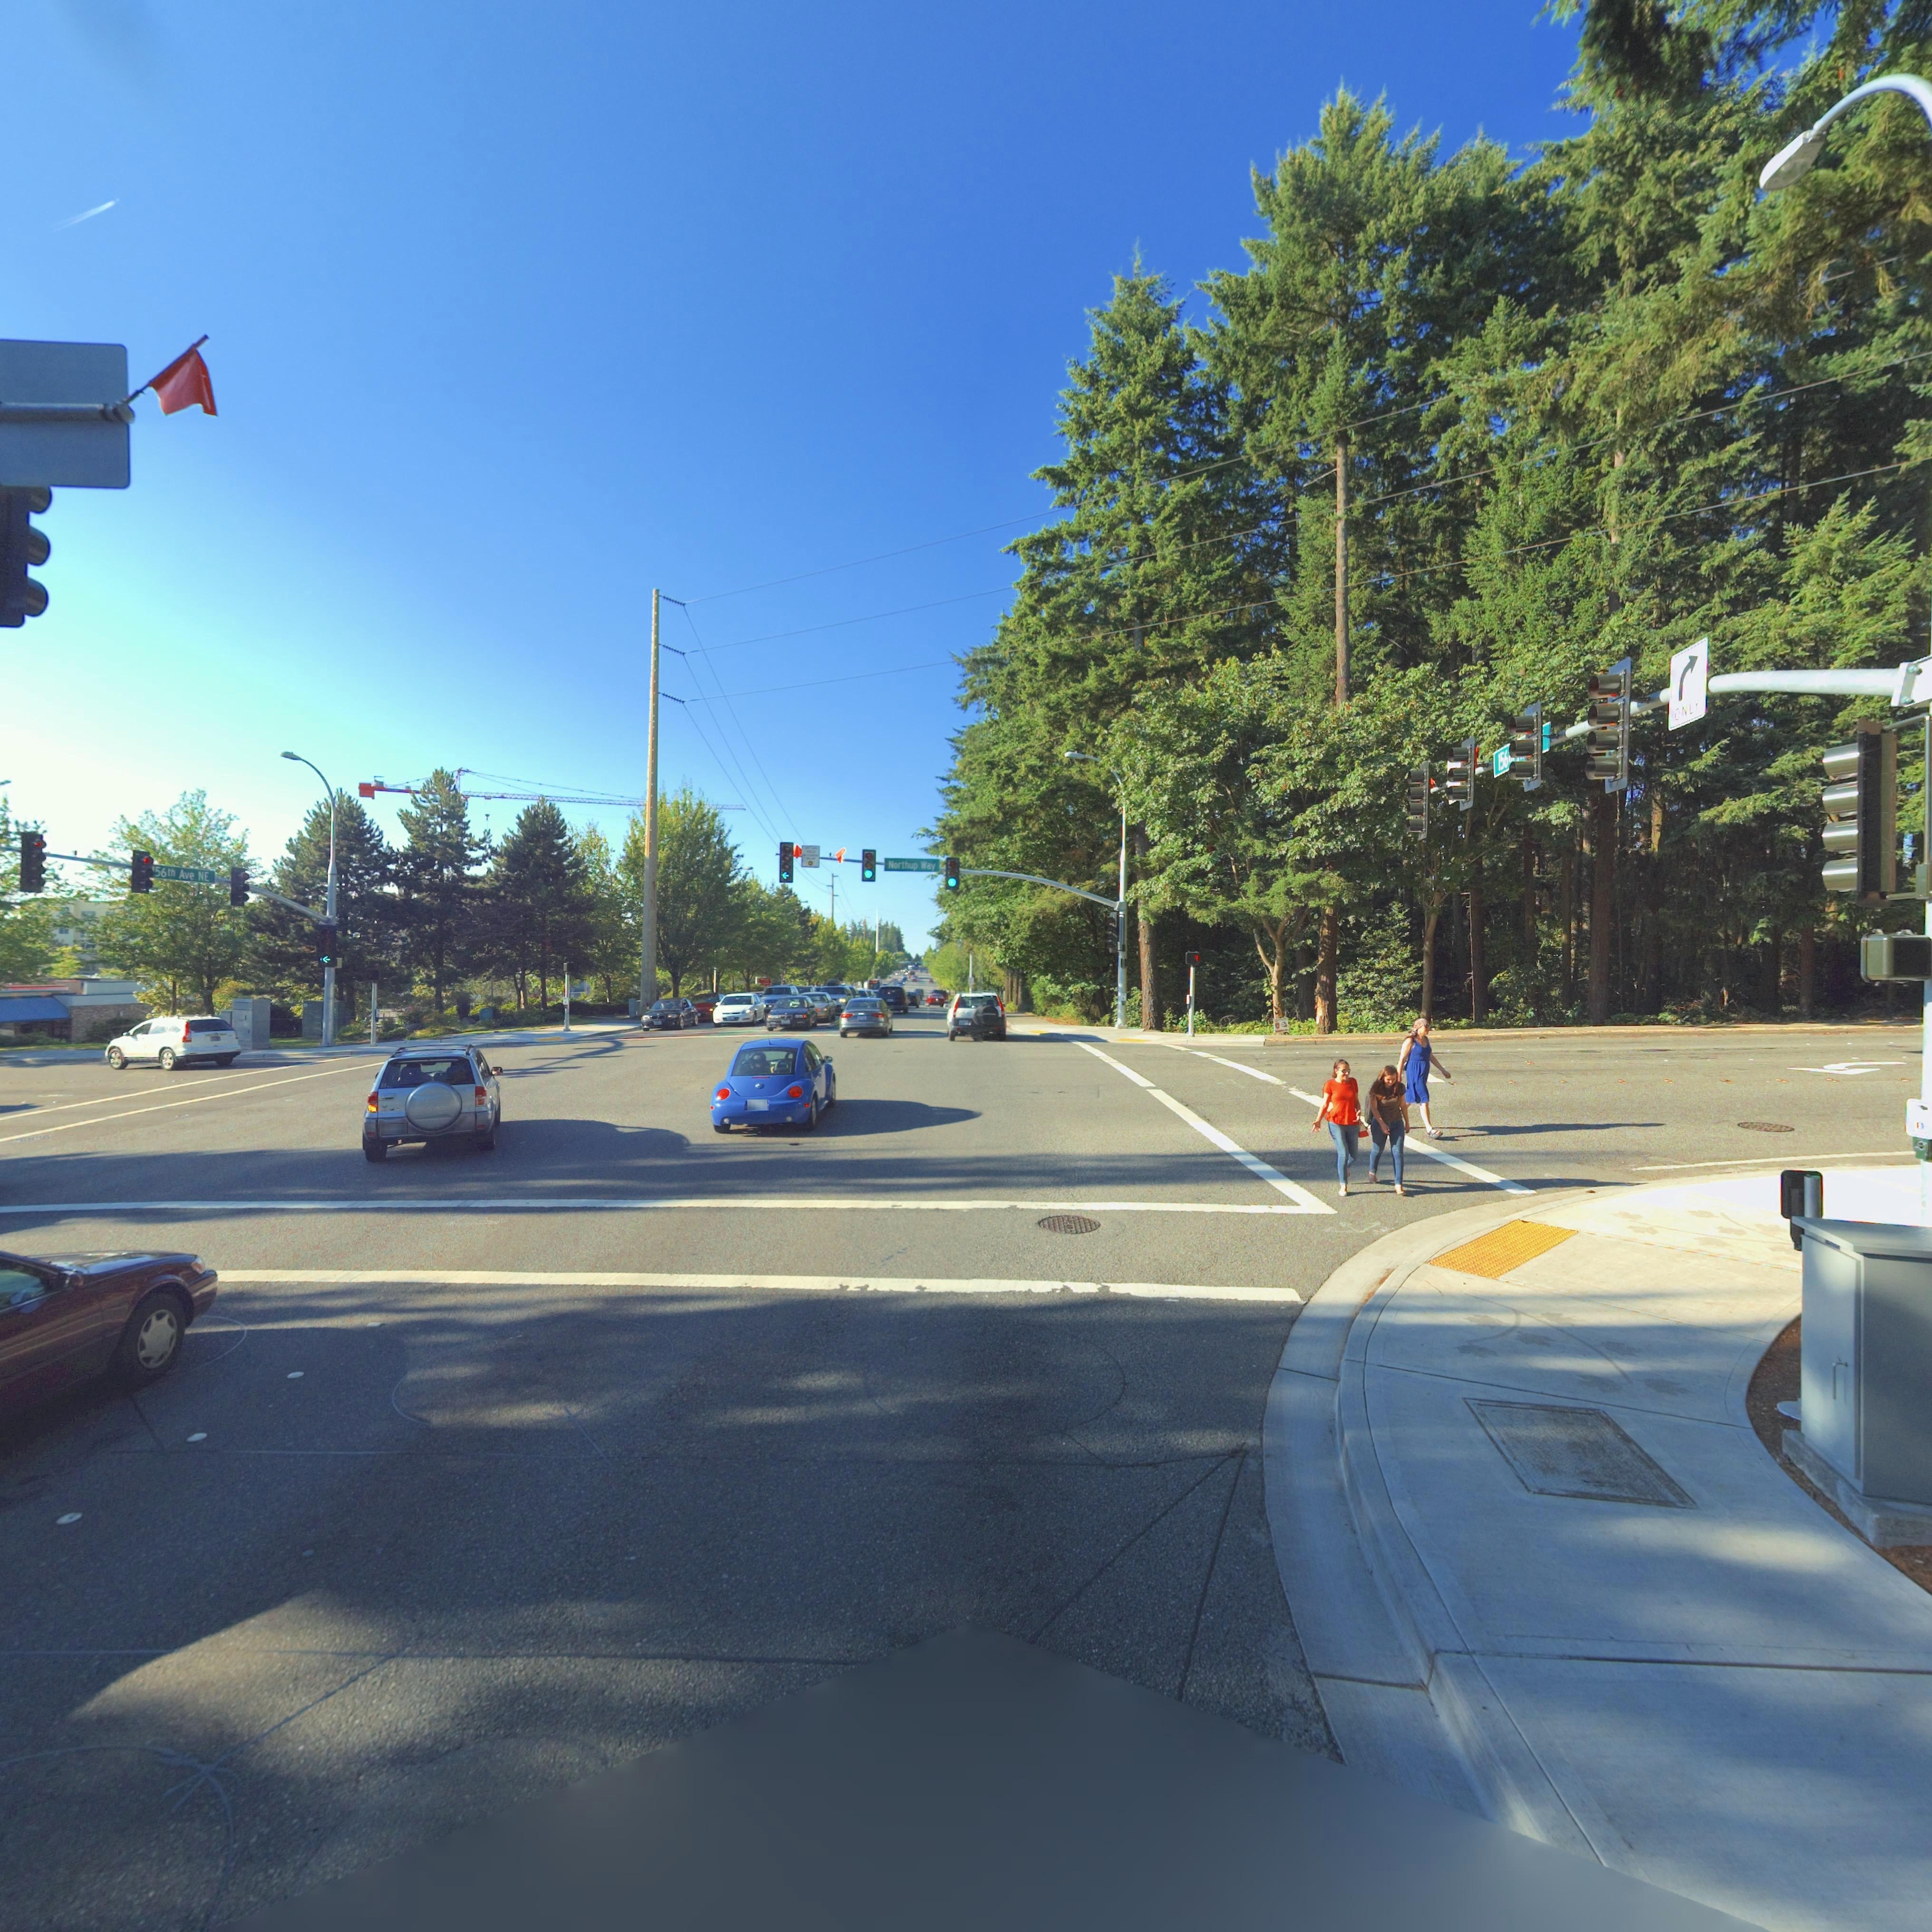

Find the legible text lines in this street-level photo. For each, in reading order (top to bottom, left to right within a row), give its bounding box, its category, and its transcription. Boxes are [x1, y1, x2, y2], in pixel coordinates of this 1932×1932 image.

[153, 864, 211, 883] StreetName: 56TH Ave NE
[886, 859, 936, 871] StreetName: Northup Way